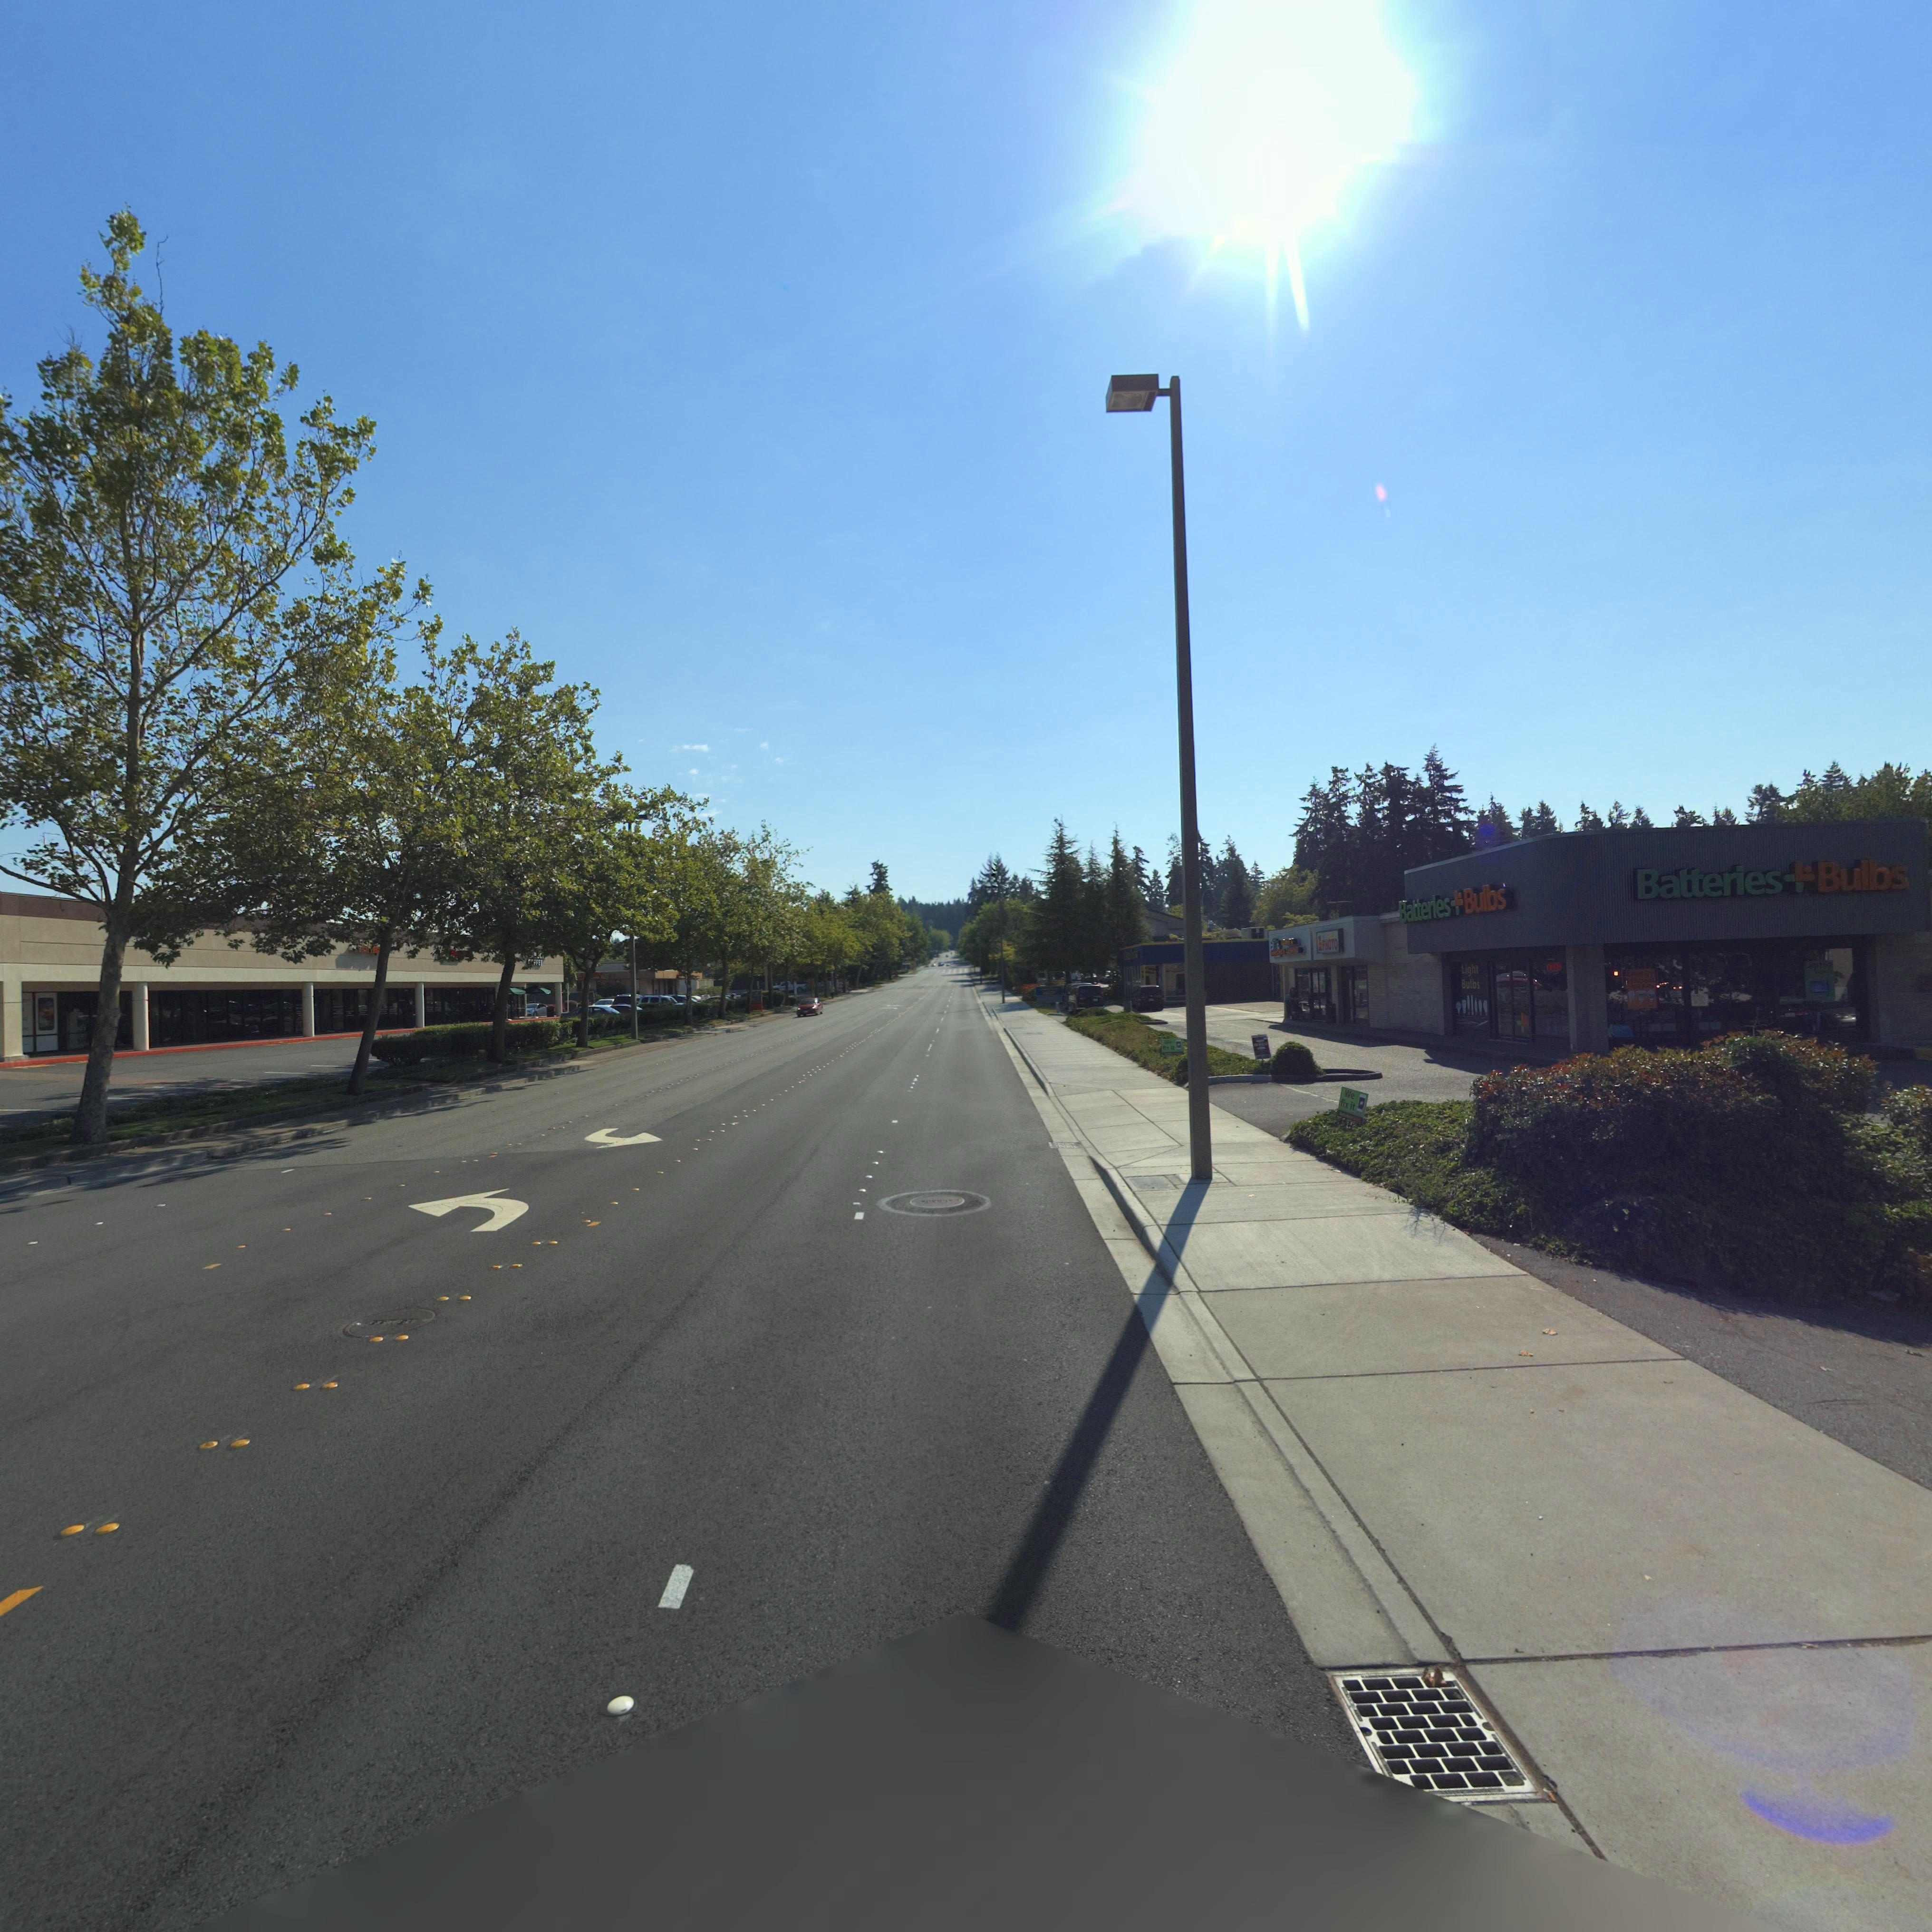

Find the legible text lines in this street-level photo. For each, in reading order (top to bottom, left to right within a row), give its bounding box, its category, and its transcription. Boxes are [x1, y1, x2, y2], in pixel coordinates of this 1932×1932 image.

[1635, 858, 1911, 901] BusinessName: Batteries*Bulbs
[1397, 883, 1507, 925] BusinessName: Batteries*Bulbs
[1318, 935, 1323, 951] None: 1
[1322, 937, 1338, 951] BusinessName: PHOTO
[536, 959, 543, 966] BusinessName: FEE